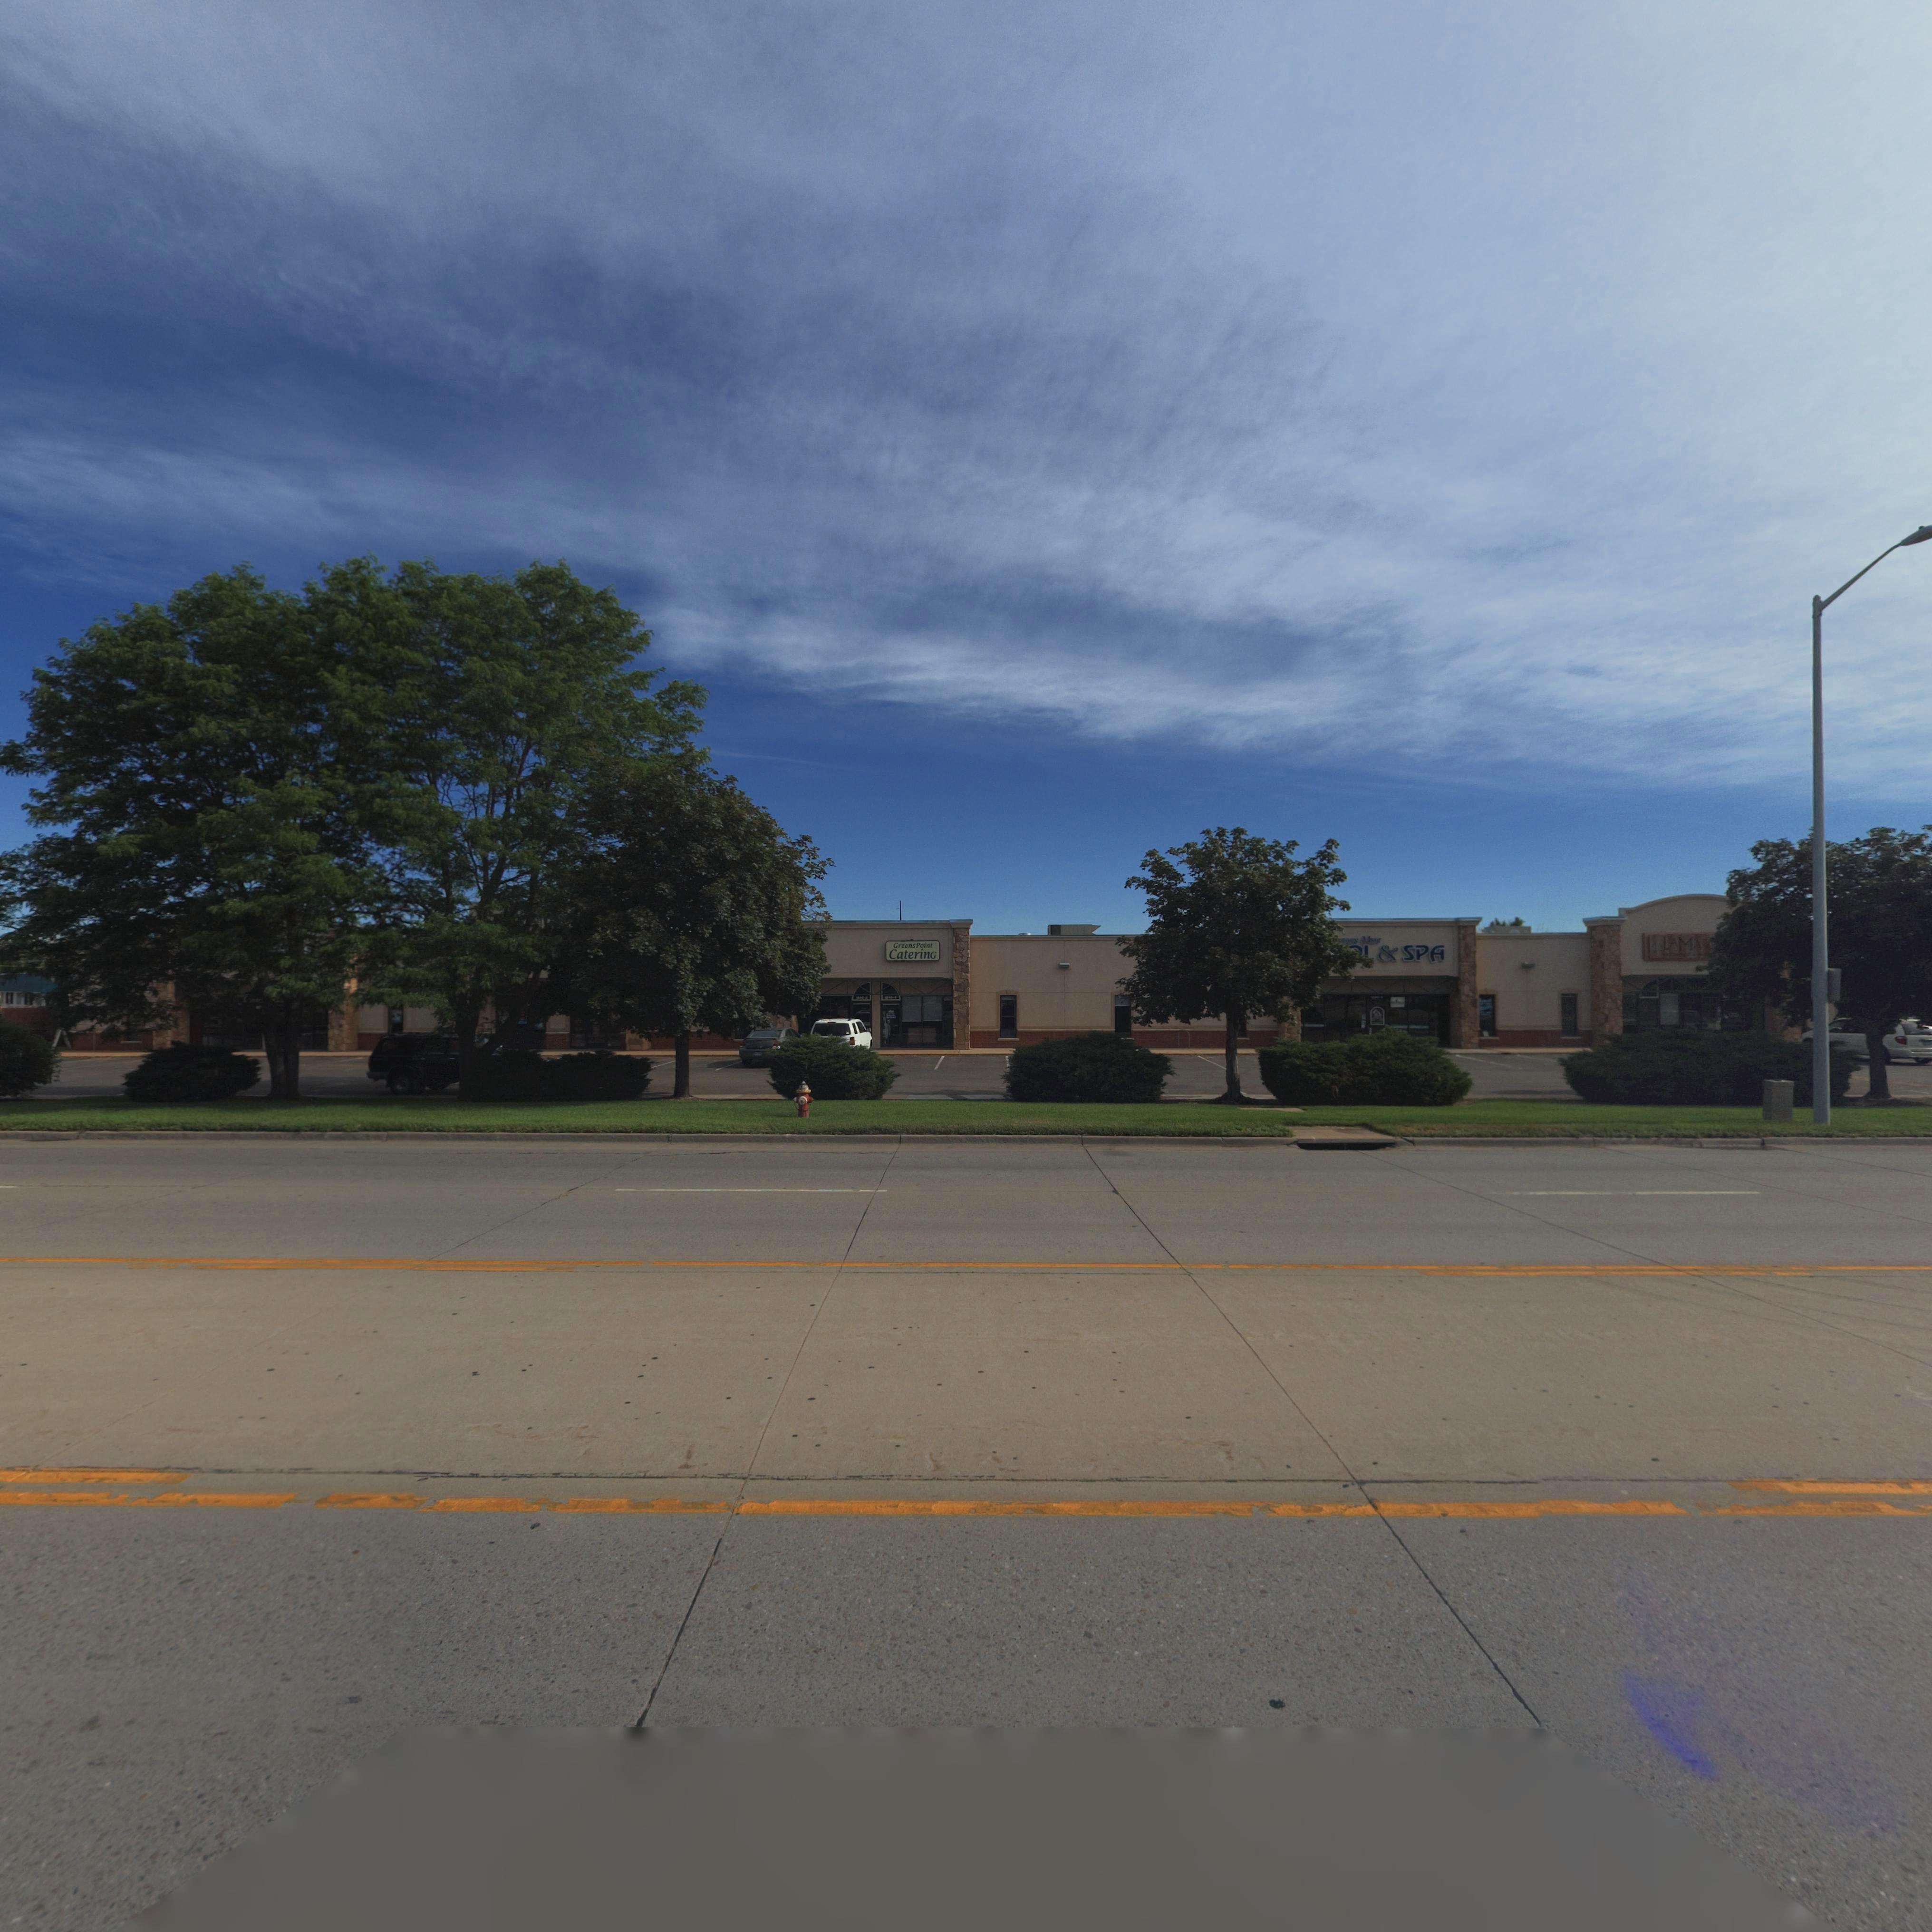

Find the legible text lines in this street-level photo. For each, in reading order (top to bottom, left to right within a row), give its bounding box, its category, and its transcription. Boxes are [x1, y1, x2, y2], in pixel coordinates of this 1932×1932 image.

[889, 948, 937, 959] BusinessName: Catering
[893, 942, 933, 948] BusinessName: Greens Point
[1376, 942, 1446, 964] BusinessName: & SPA
[1662, 935, 1694, 951] BusinessName: LAM